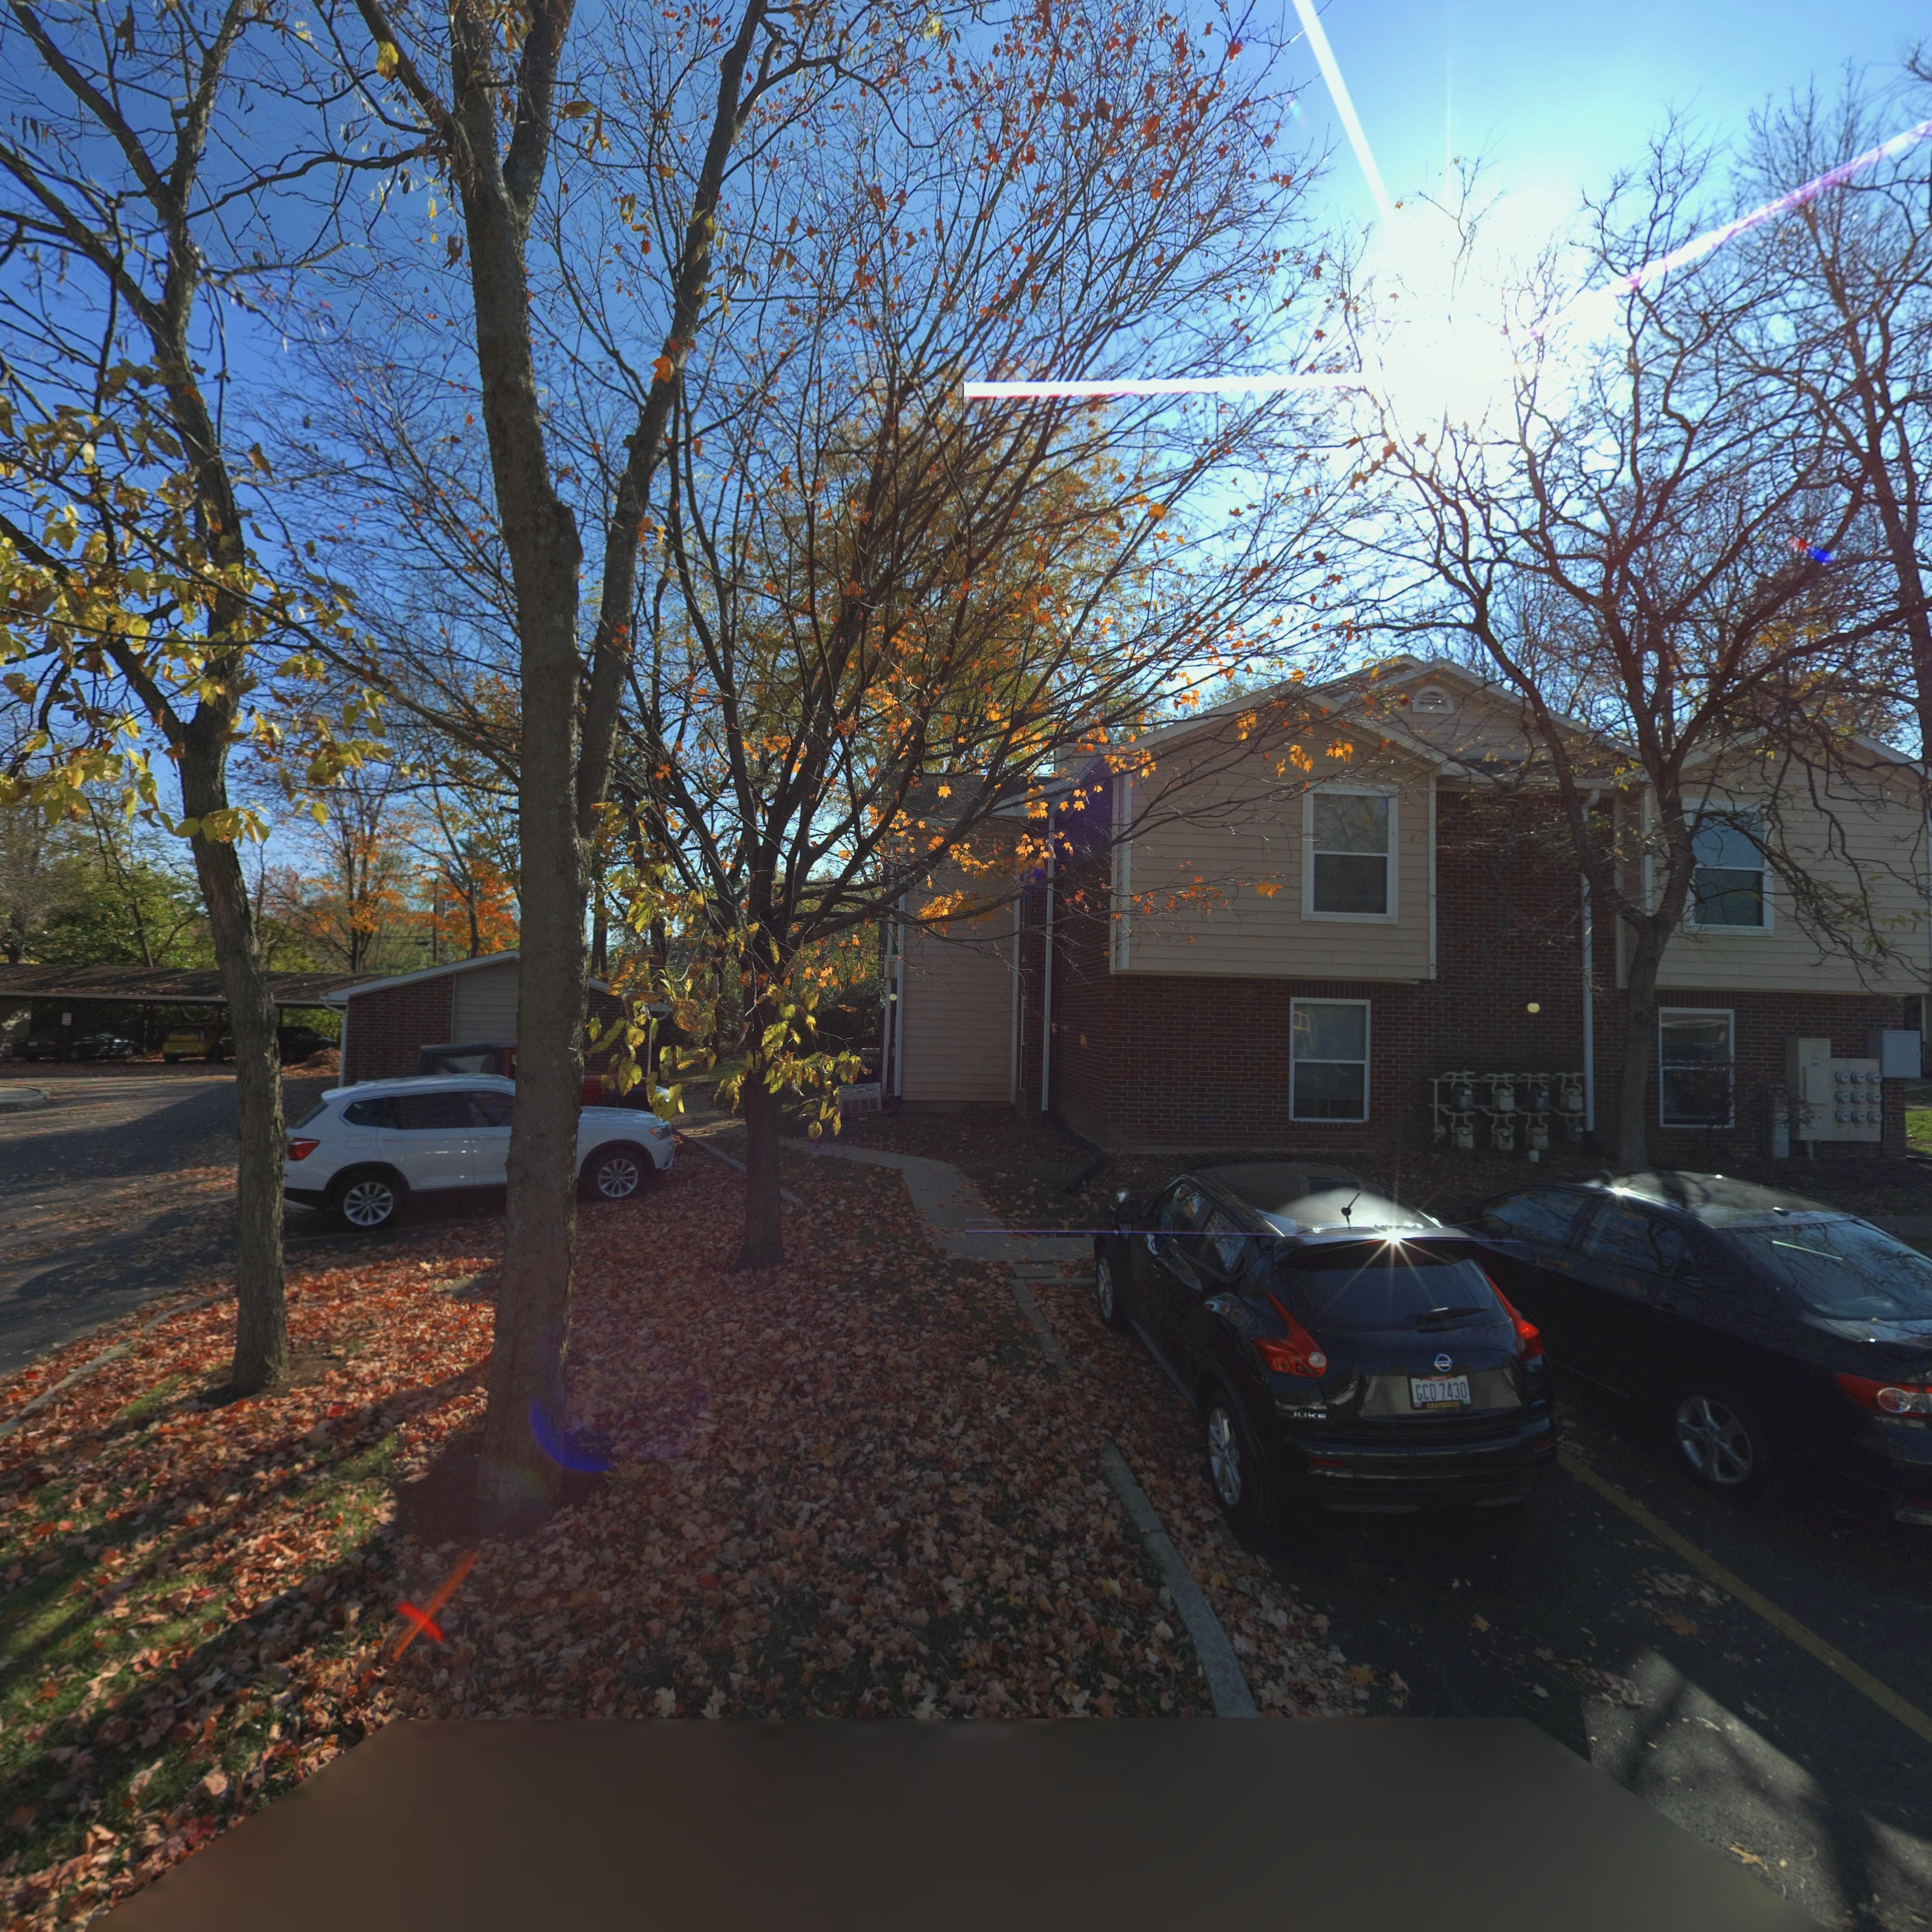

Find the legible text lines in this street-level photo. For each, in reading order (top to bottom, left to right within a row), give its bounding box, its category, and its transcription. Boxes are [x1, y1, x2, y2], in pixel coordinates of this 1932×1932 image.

[1415, 1380, 1468, 1402] None: GCD 7430
[1425, 1401, 1461, 1410] None: CASTRUCCI
[1289, 1409, 1328, 1421] None: JUKE